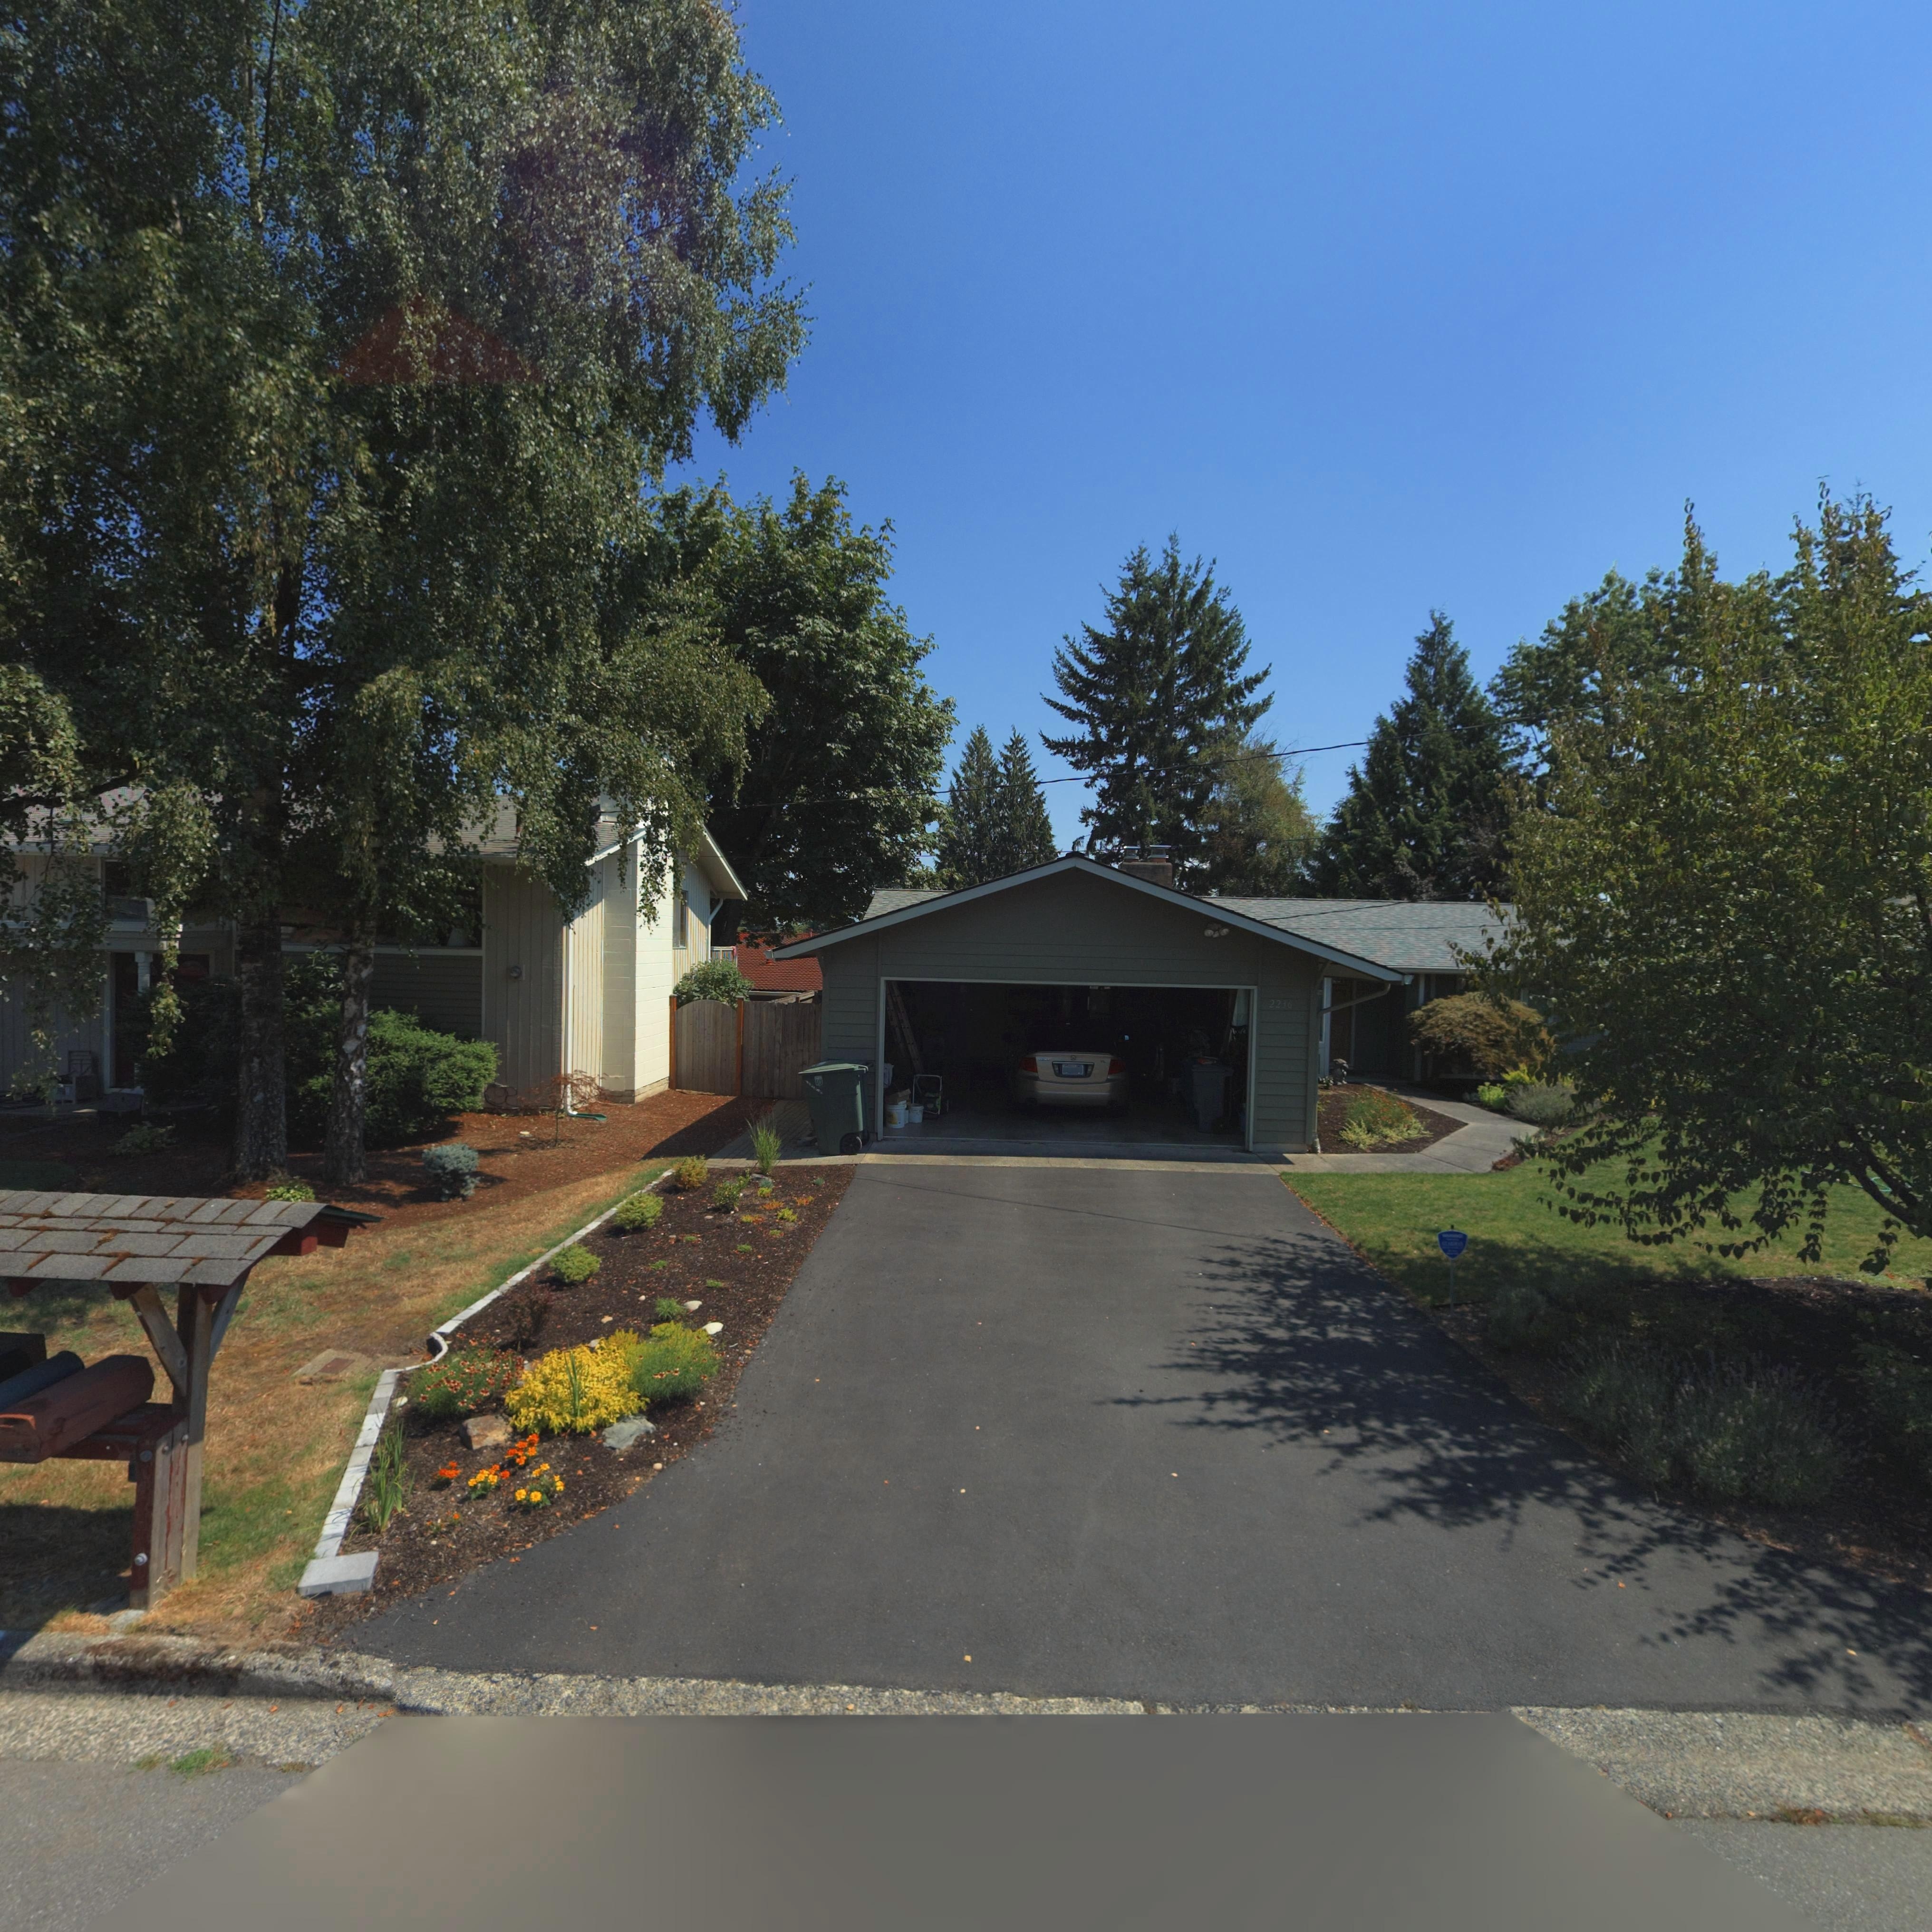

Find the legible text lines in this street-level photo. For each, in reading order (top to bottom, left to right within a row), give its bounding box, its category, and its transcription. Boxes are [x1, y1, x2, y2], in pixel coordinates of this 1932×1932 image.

[1268, 998, 1294, 1009] StreetNumber: 22**